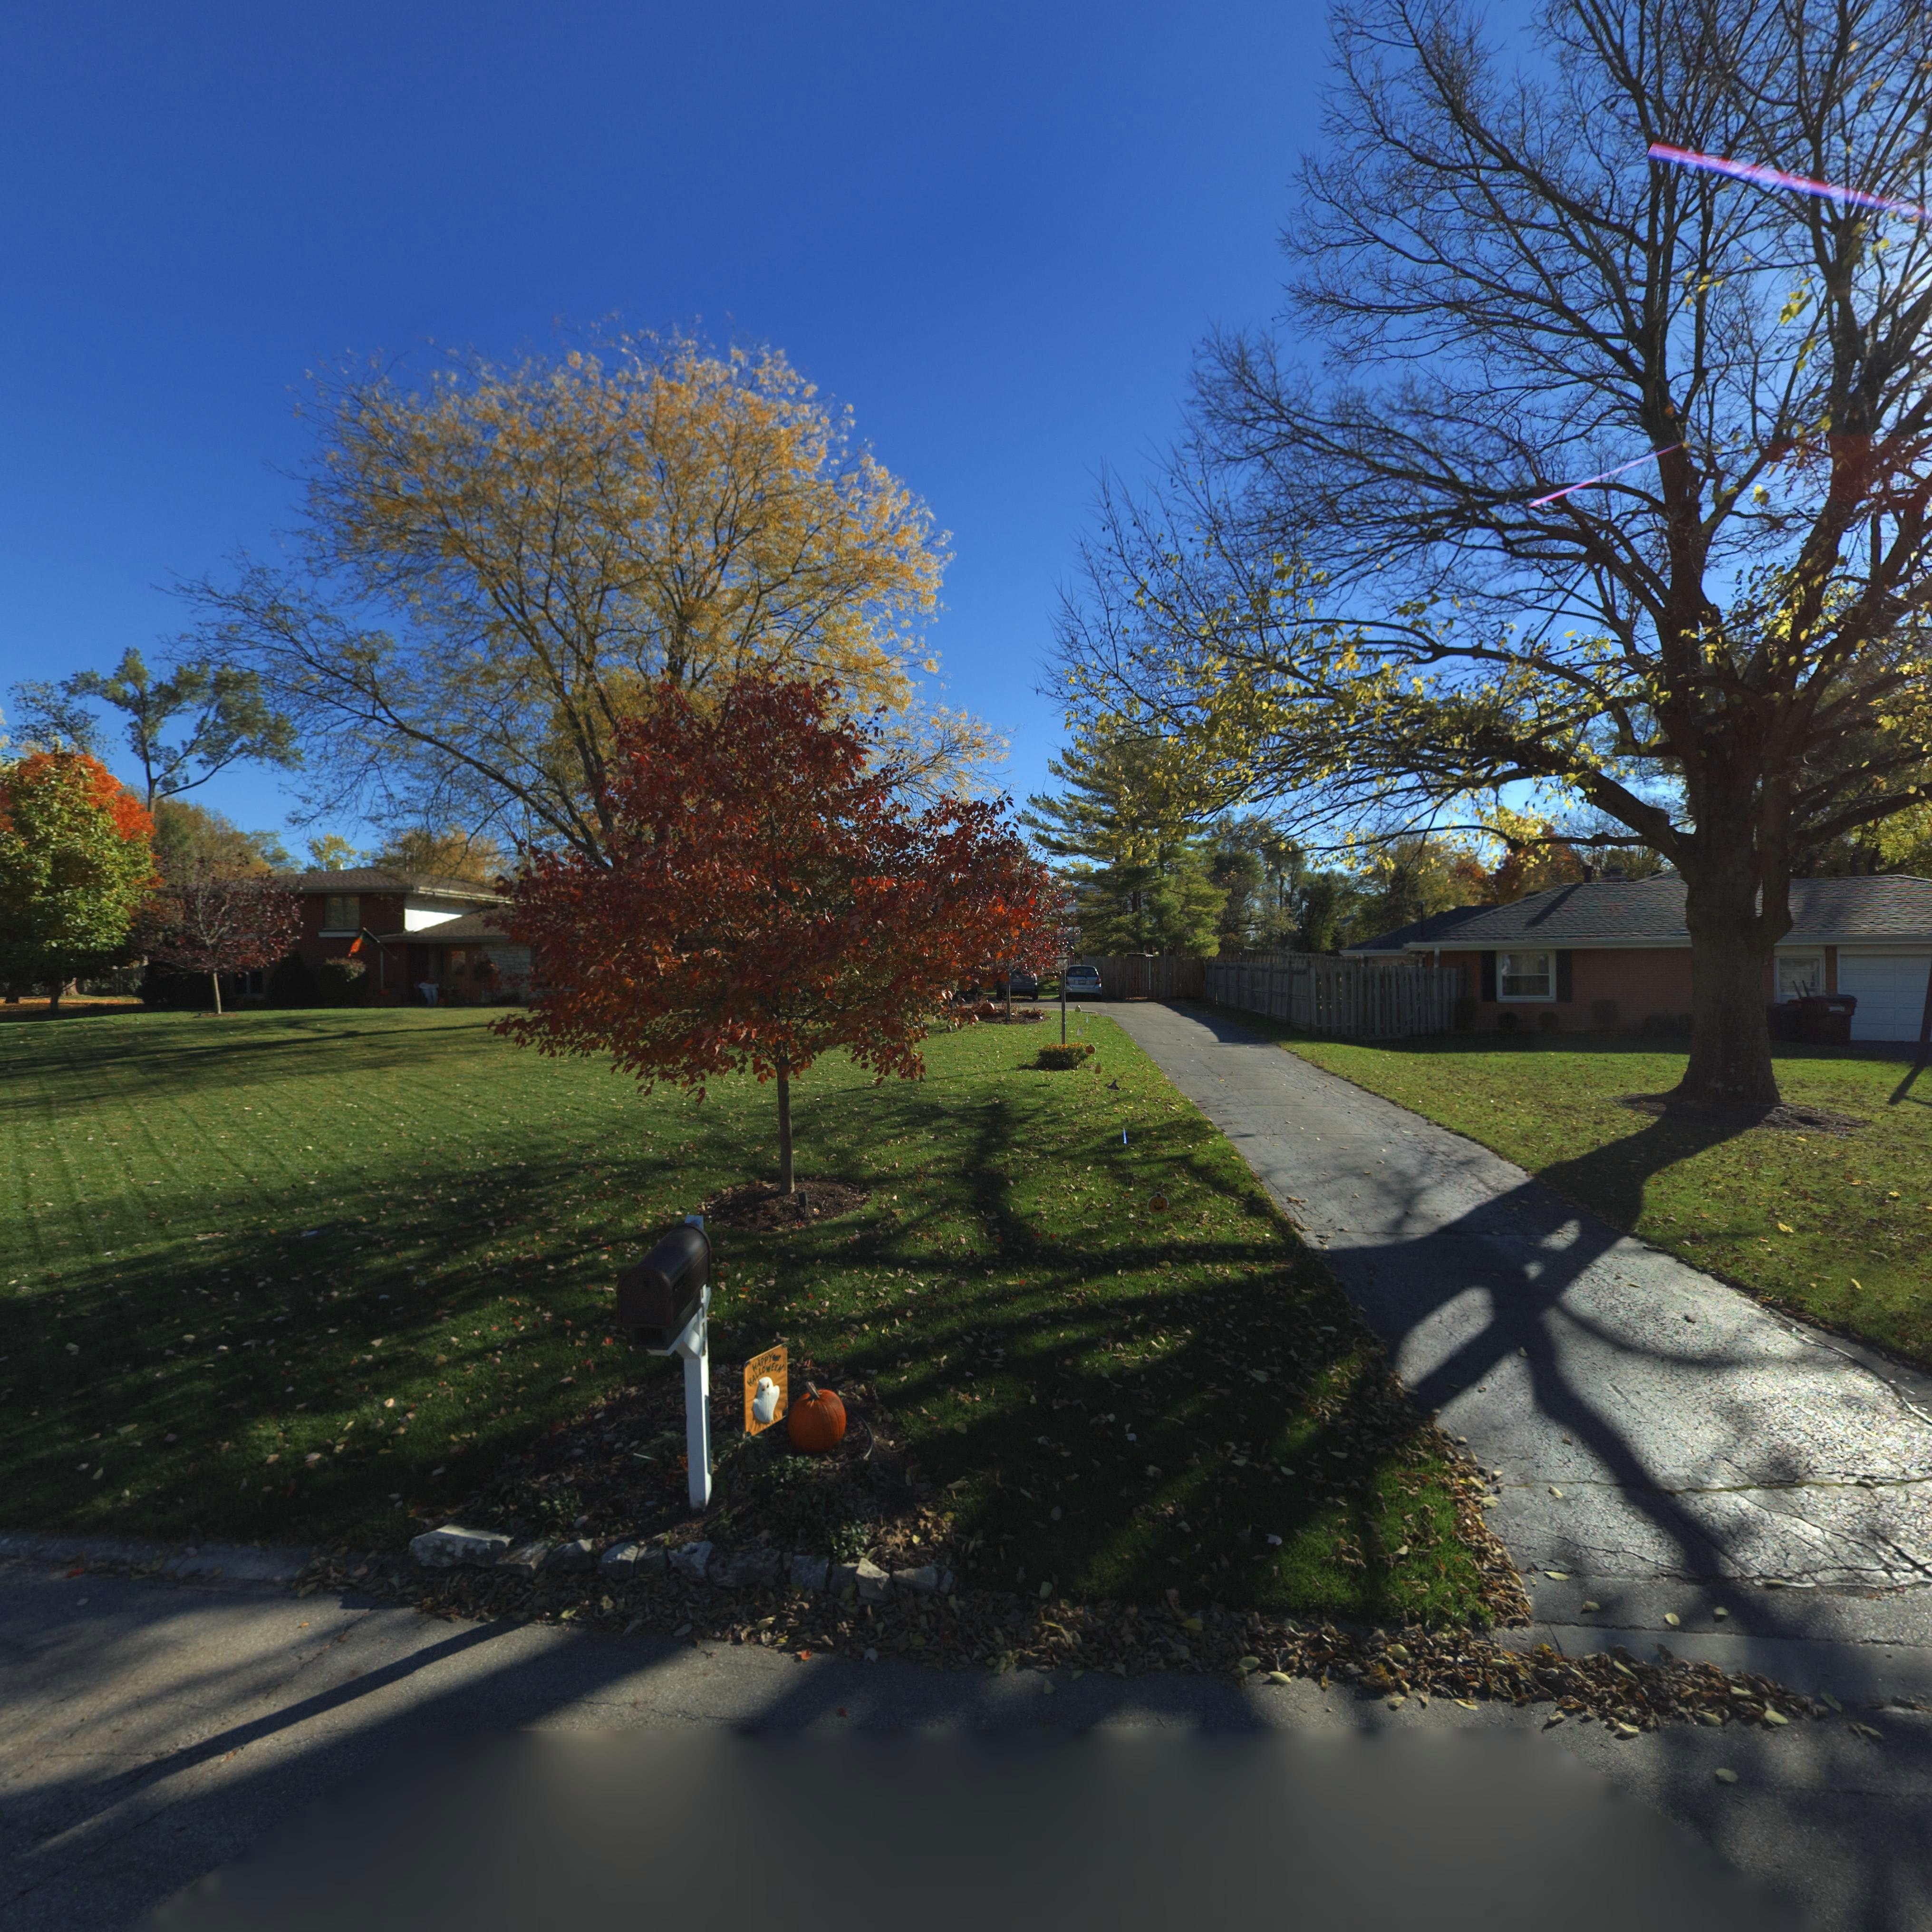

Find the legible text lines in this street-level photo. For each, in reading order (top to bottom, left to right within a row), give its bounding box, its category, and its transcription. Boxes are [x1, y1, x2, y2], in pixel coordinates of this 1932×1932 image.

[700, 1301, 708, 1358] StreetNumber: 114
[751, 1351, 774, 1373] None: HAPPY
[745, 1361, 786, 1388] None: HALLOWEEN